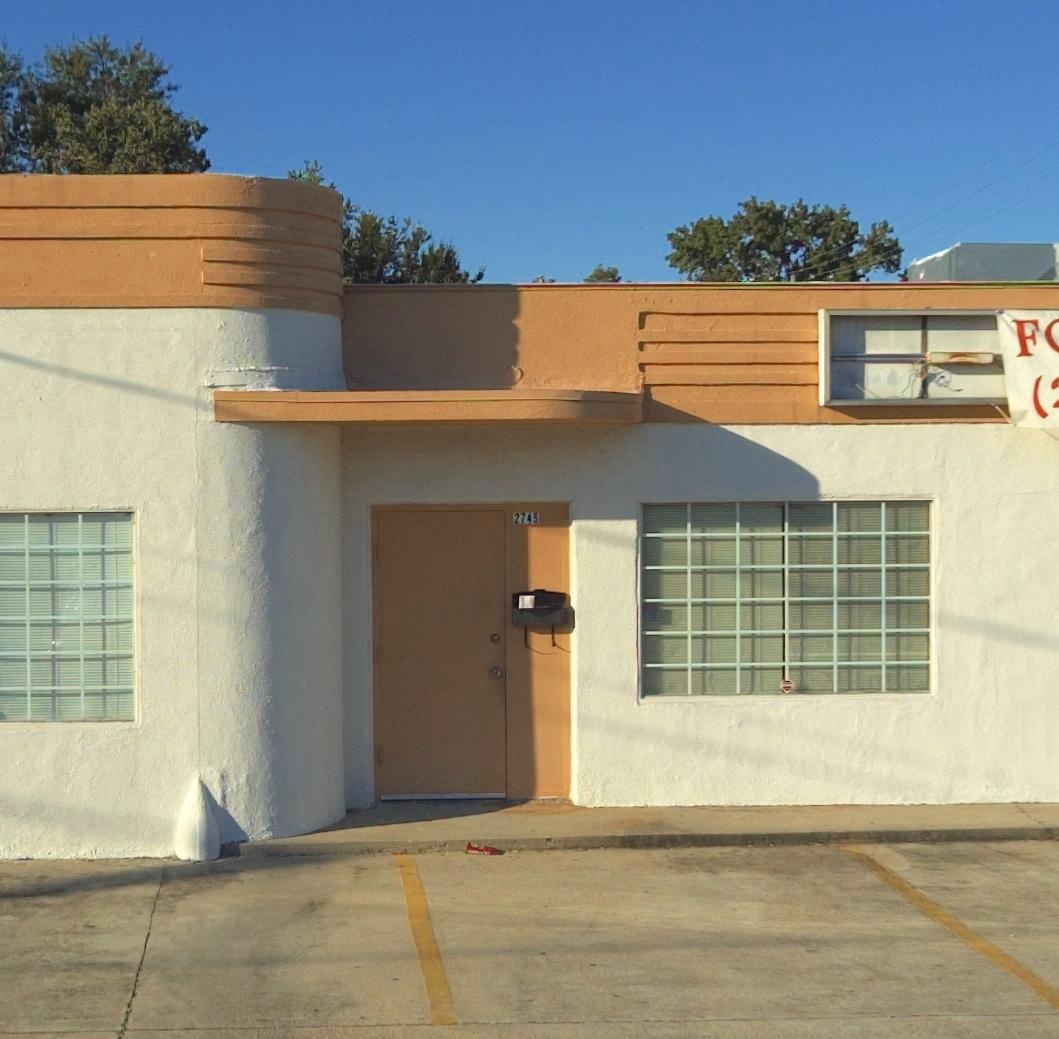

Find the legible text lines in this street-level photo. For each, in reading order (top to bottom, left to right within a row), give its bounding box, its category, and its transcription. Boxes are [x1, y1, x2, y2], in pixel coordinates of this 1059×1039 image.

[1005, 314, 1045, 362] None: F
[511, 510, 541, 526] StreetNumber: 2745